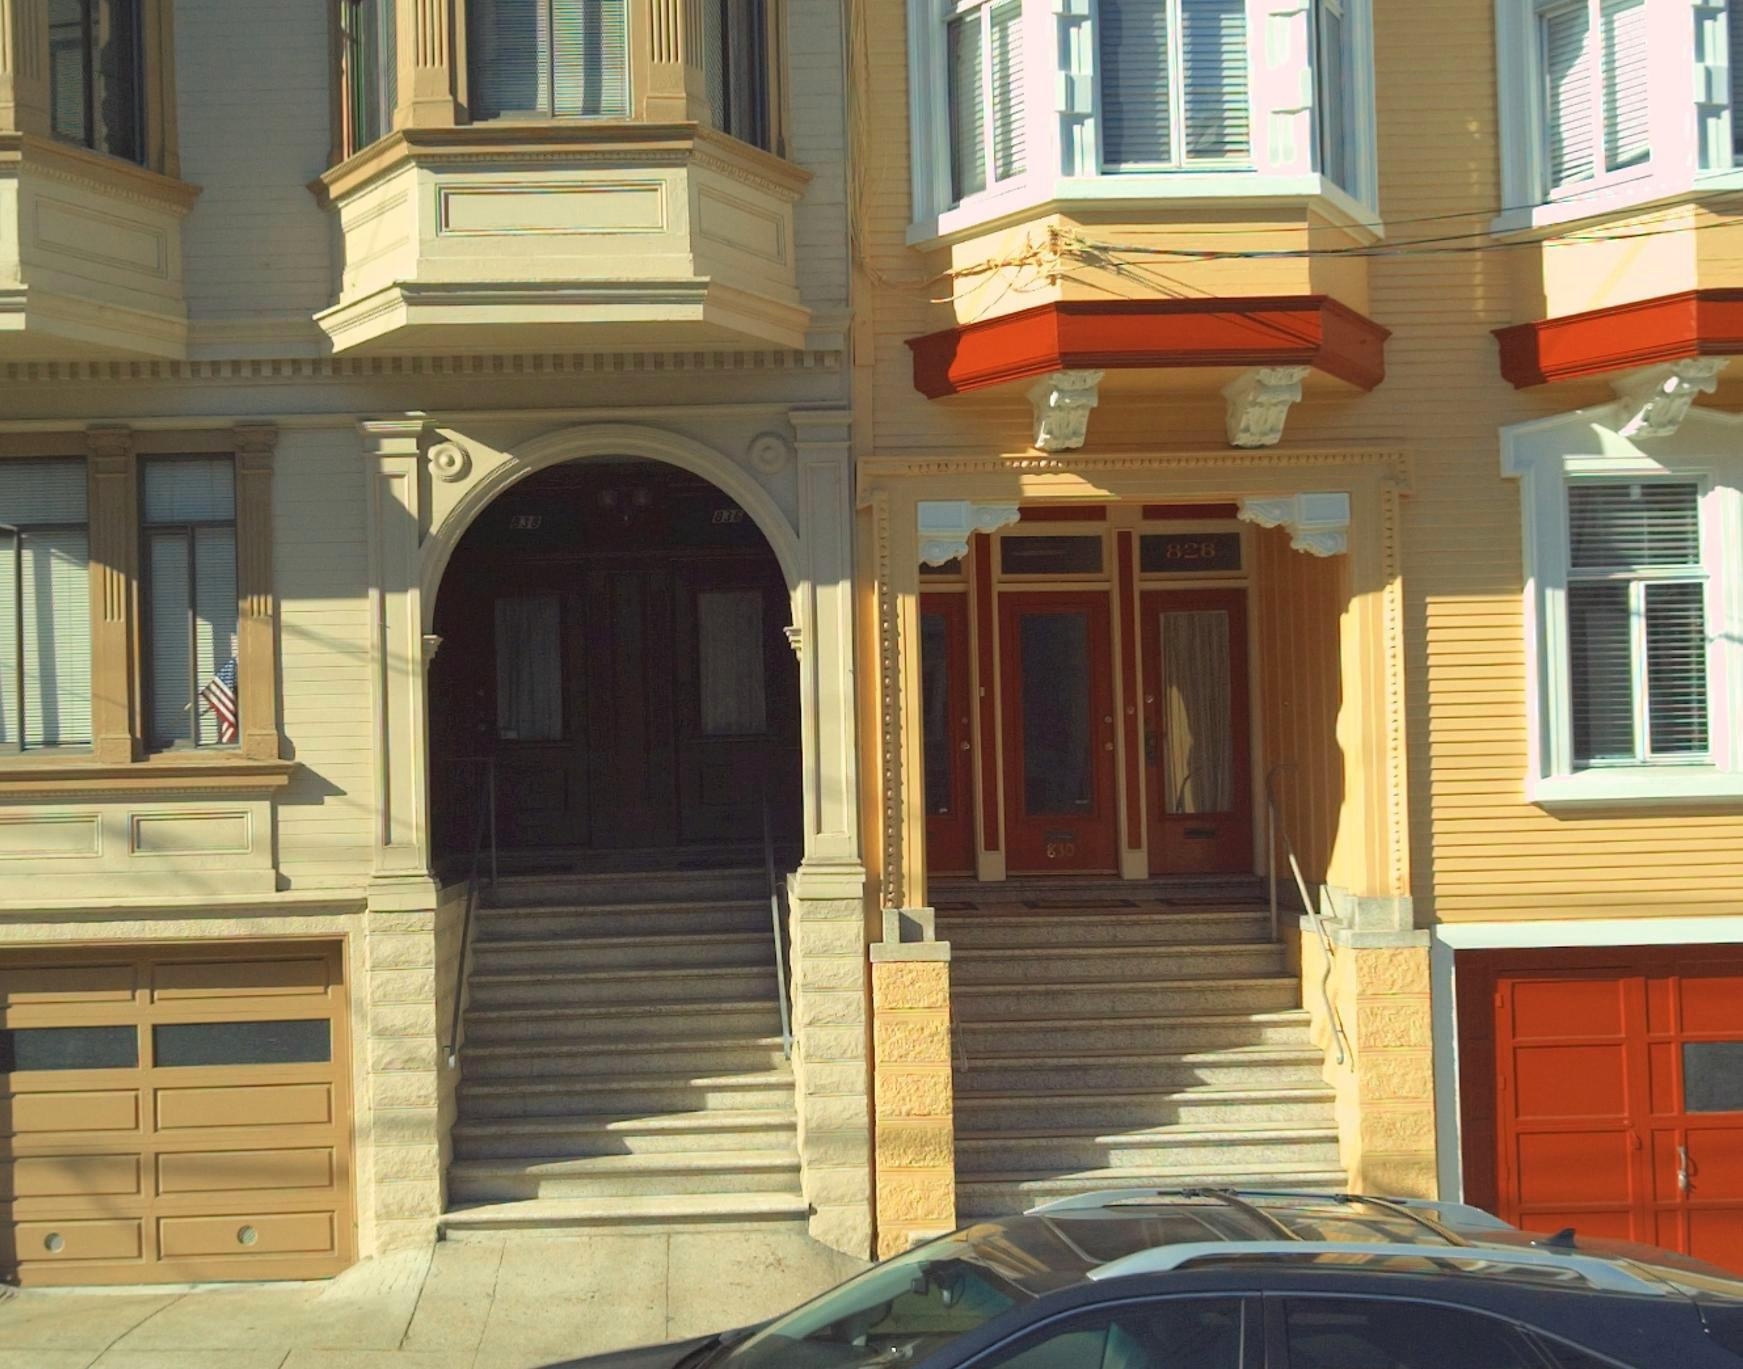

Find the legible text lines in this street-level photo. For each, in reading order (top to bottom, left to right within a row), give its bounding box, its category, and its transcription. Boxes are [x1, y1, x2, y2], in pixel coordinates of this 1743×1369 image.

[511, 516, 541, 529] StreetNumber: 838
[712, 510, 743, 523] StreetNumber: 836
[1166, 540, 1216, 561] StreetNumber: 828
[1044, 840, 1077, 860] StreetNumber: 830